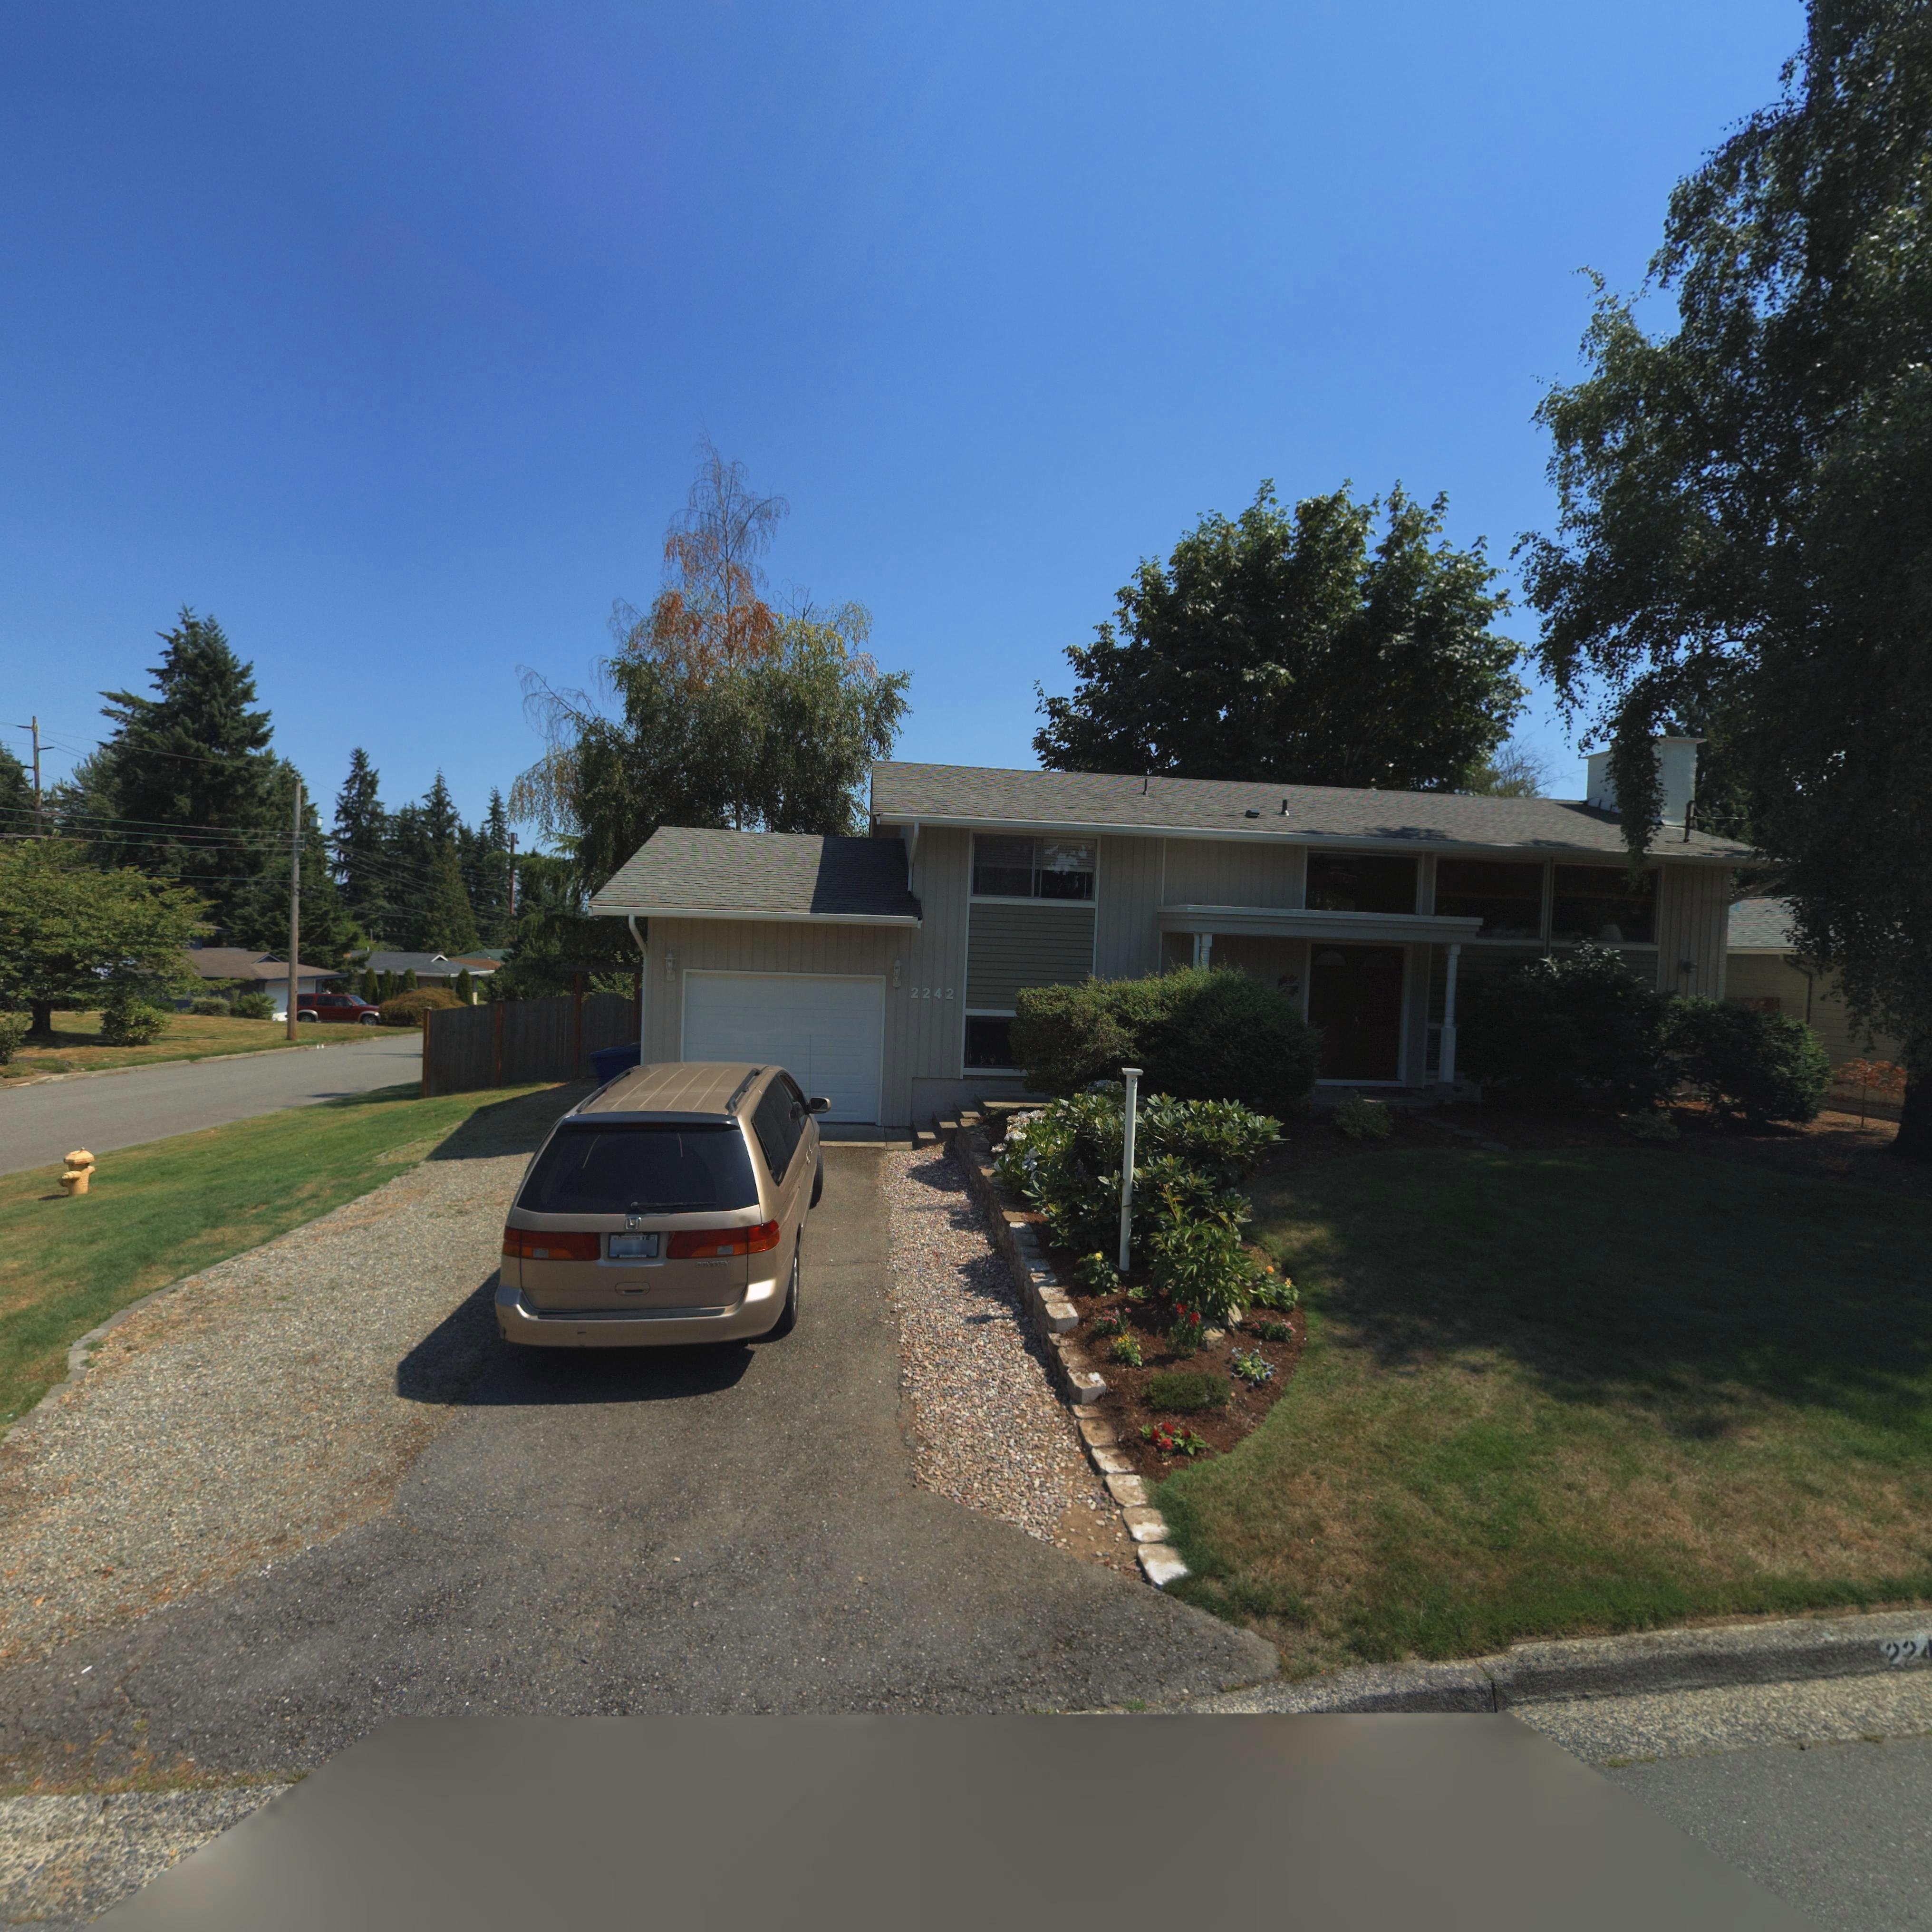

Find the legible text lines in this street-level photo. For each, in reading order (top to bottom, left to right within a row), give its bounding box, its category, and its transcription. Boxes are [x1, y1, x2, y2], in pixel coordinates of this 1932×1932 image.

[911, 987, 953, 999] StreetNumber: 2242